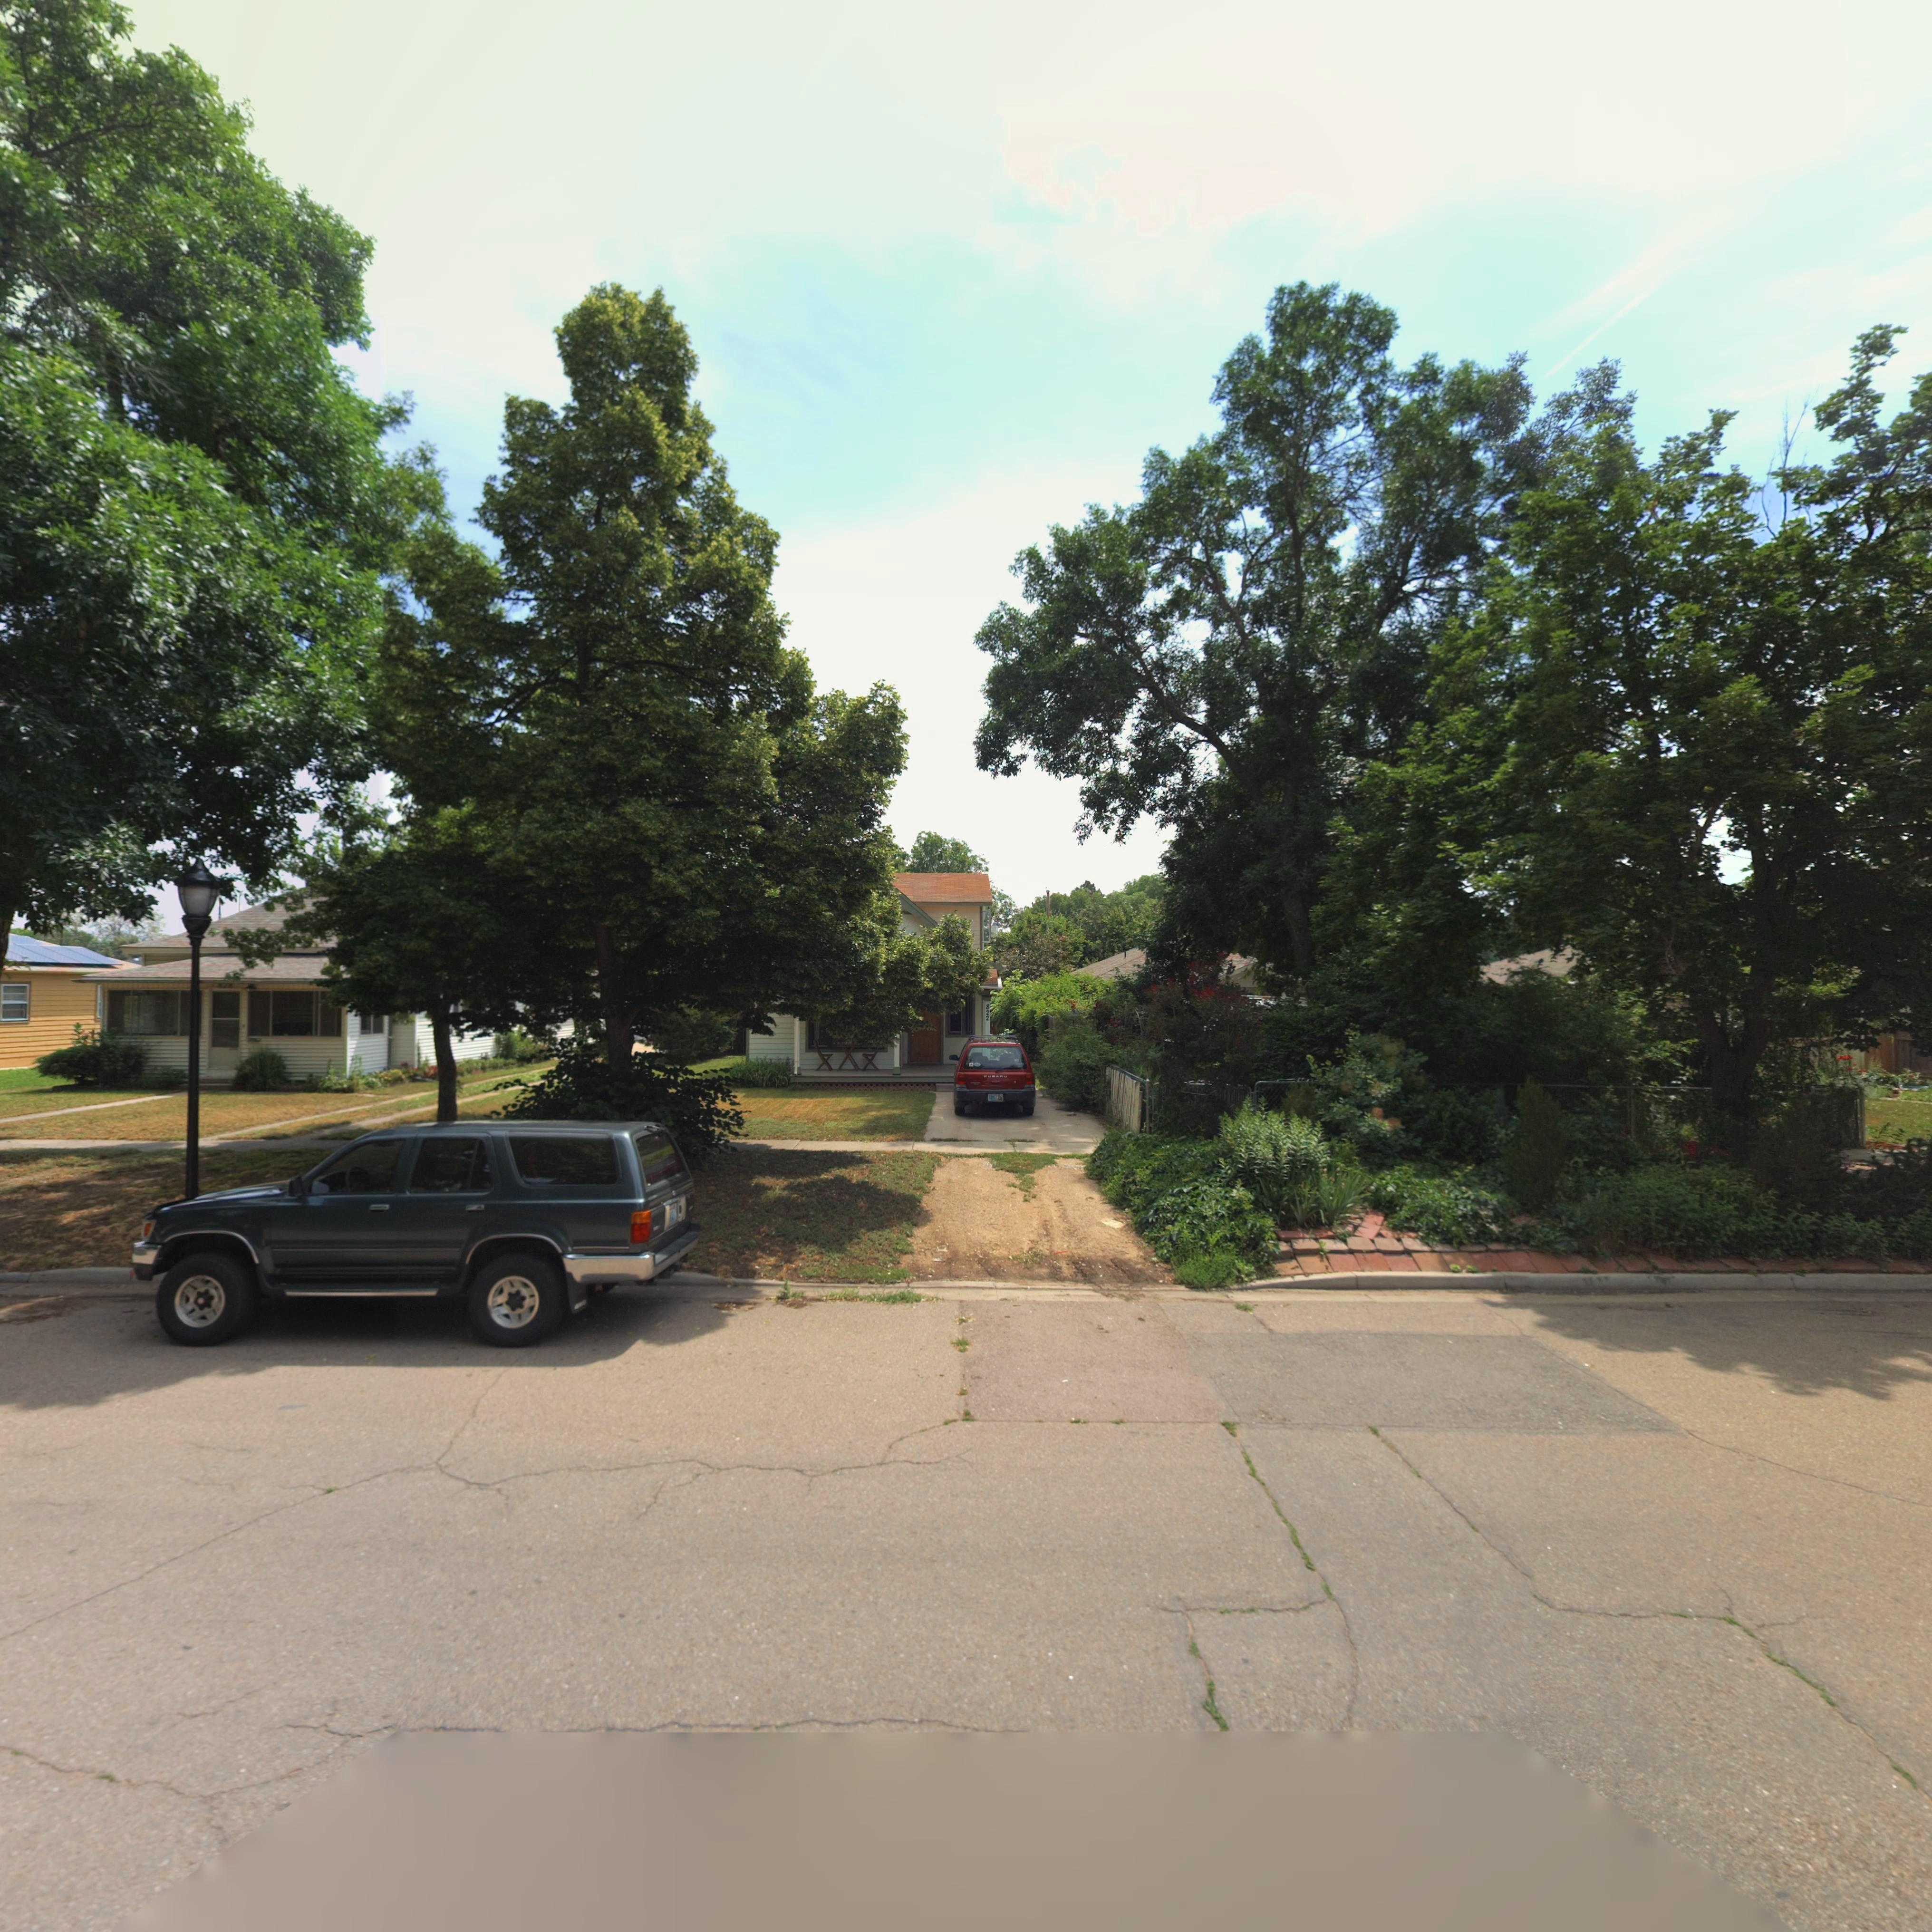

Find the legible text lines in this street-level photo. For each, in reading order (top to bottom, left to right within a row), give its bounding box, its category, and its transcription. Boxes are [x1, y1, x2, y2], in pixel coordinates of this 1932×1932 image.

[986, 1004, 989, 1021] StreetNumber: 822